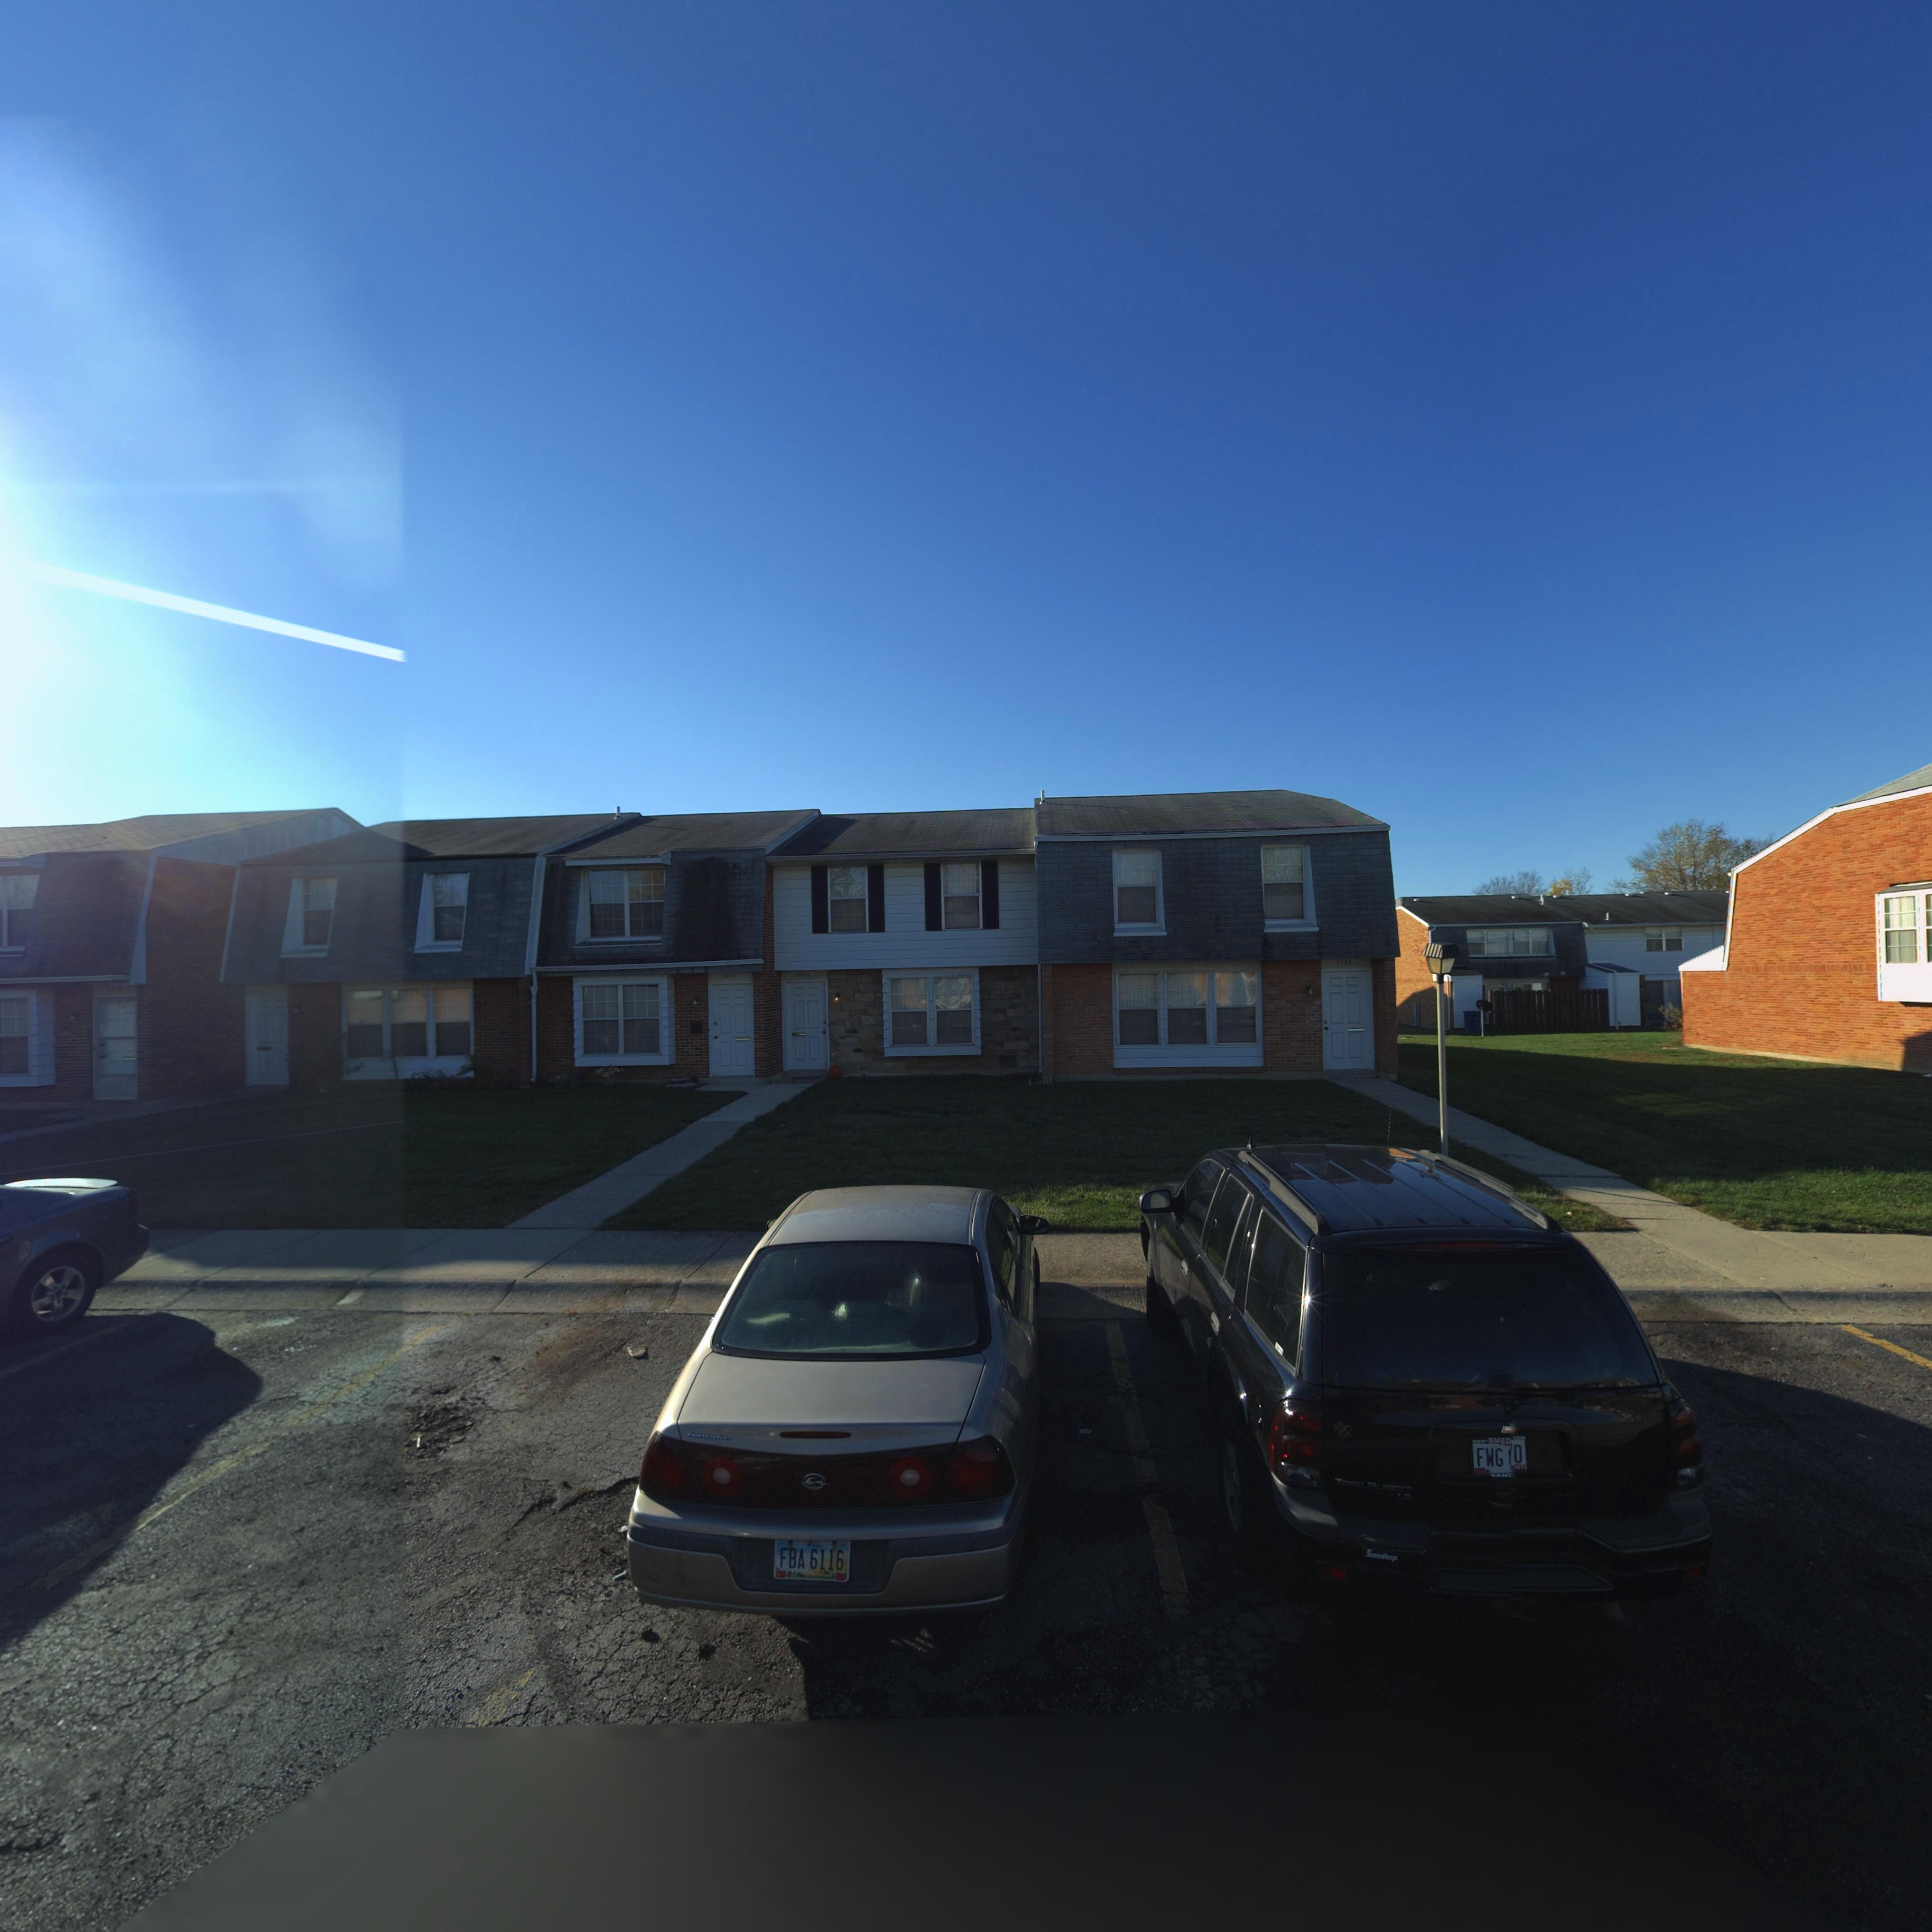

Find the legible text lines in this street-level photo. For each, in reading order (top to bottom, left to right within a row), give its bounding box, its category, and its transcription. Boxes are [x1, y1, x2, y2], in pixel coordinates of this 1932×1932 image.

[1336, 959, 1352, 966] StreetNumber: 7598
[720, 973, 737, 978] StreetNumber: 7602
[795, 971, 811, 977] StreetNumber: 7600
[106, 985, 123, 993] StreetNumber: 7*0*